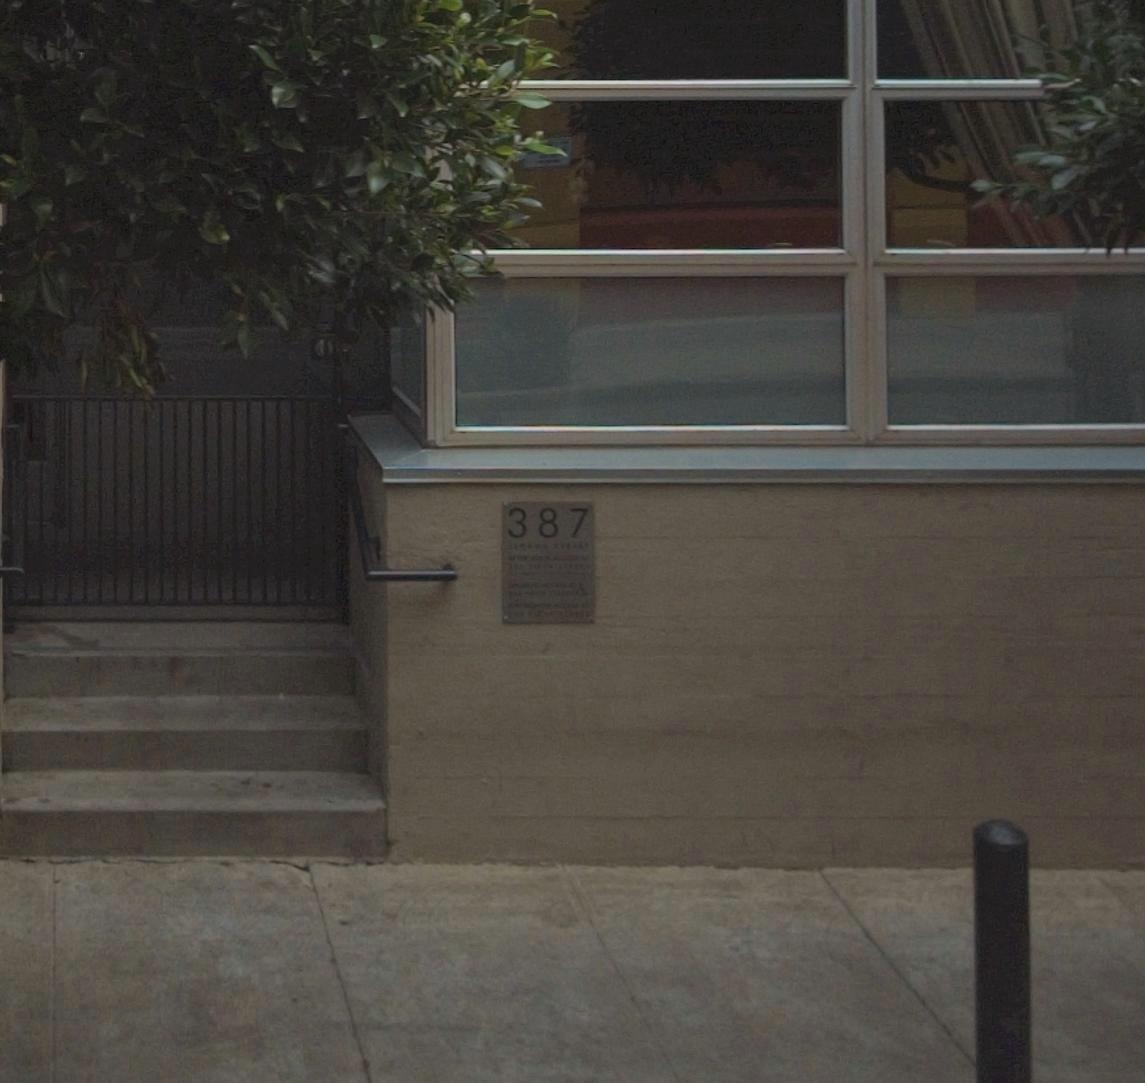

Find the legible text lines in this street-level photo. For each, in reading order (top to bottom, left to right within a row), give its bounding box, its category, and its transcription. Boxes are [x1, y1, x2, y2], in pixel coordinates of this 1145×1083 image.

[505, 505, 592, 540] StreetNumber: 387